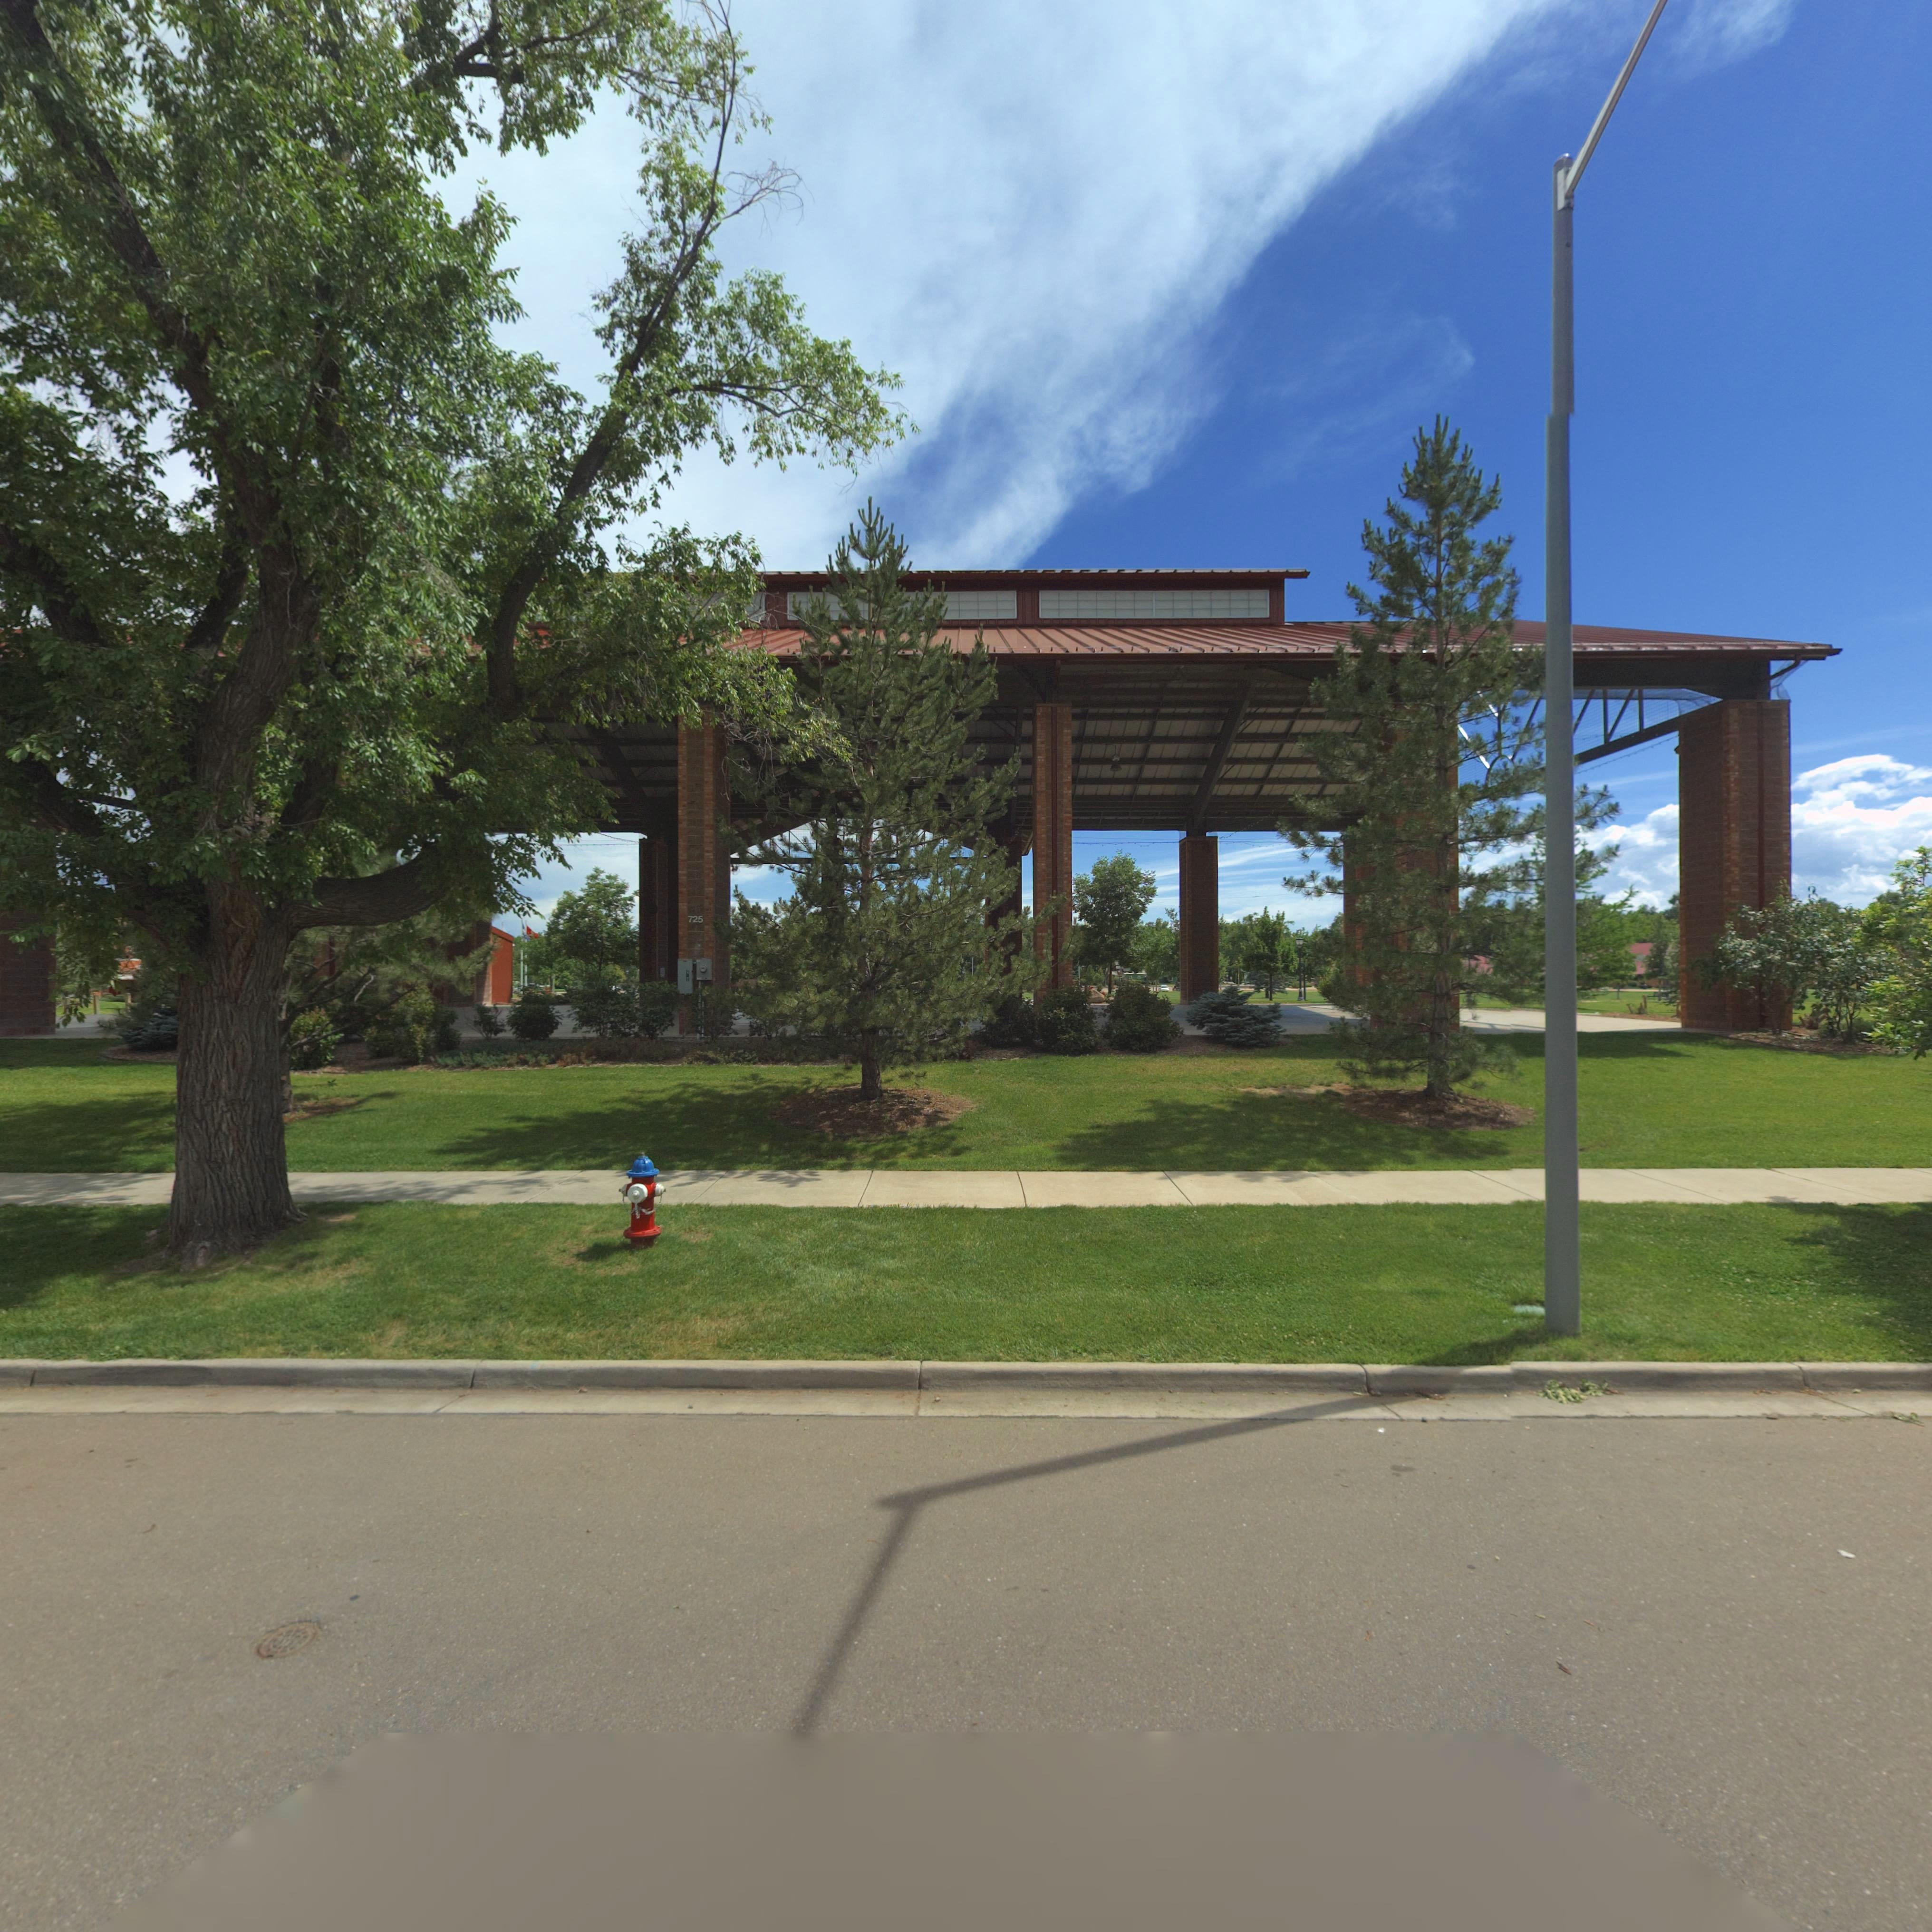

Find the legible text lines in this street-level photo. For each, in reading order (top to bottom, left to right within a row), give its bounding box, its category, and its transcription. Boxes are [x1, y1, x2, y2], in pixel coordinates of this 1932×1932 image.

[687, 914, 704, 924] StreetNumber: 725